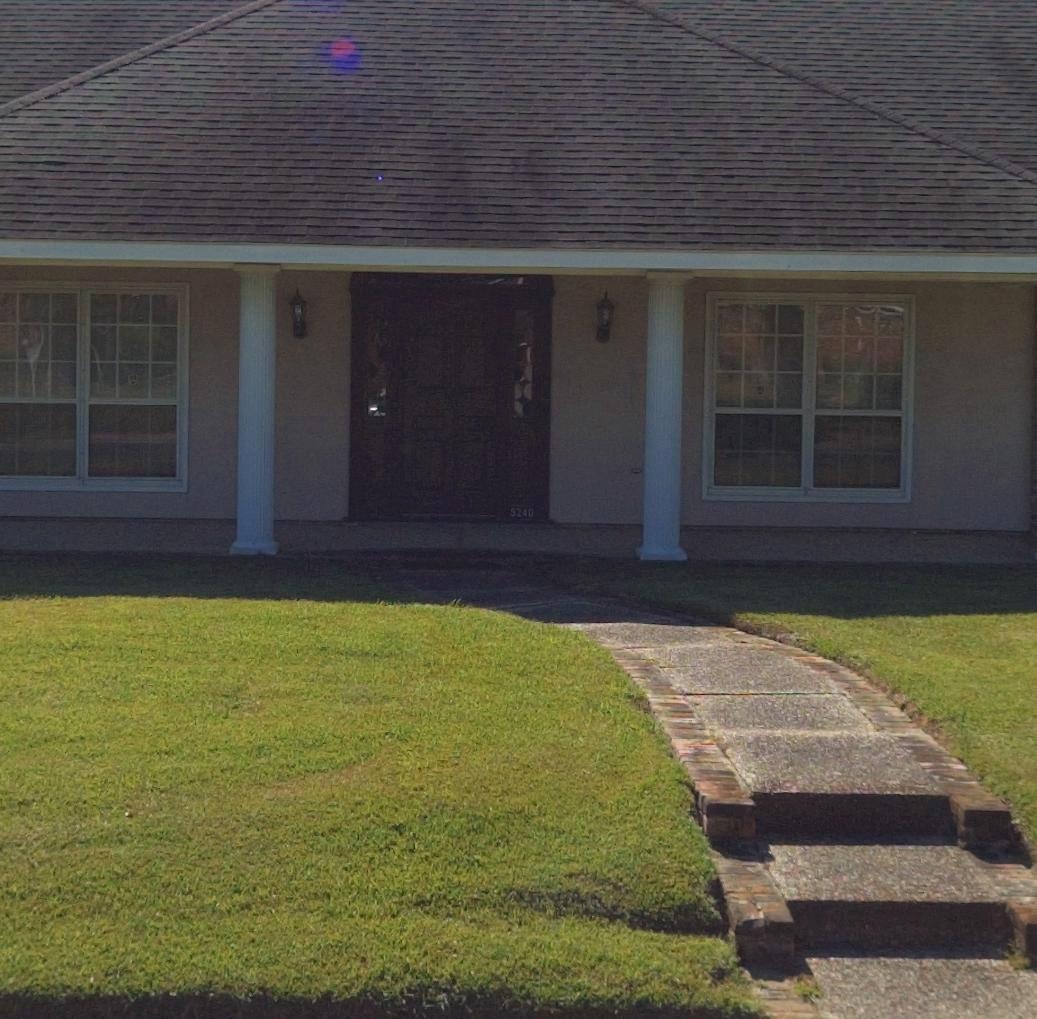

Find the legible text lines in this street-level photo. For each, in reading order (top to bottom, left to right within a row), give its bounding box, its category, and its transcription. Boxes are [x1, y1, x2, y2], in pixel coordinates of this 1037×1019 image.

[509, 506, 536, 520] StreetNumber: 5240